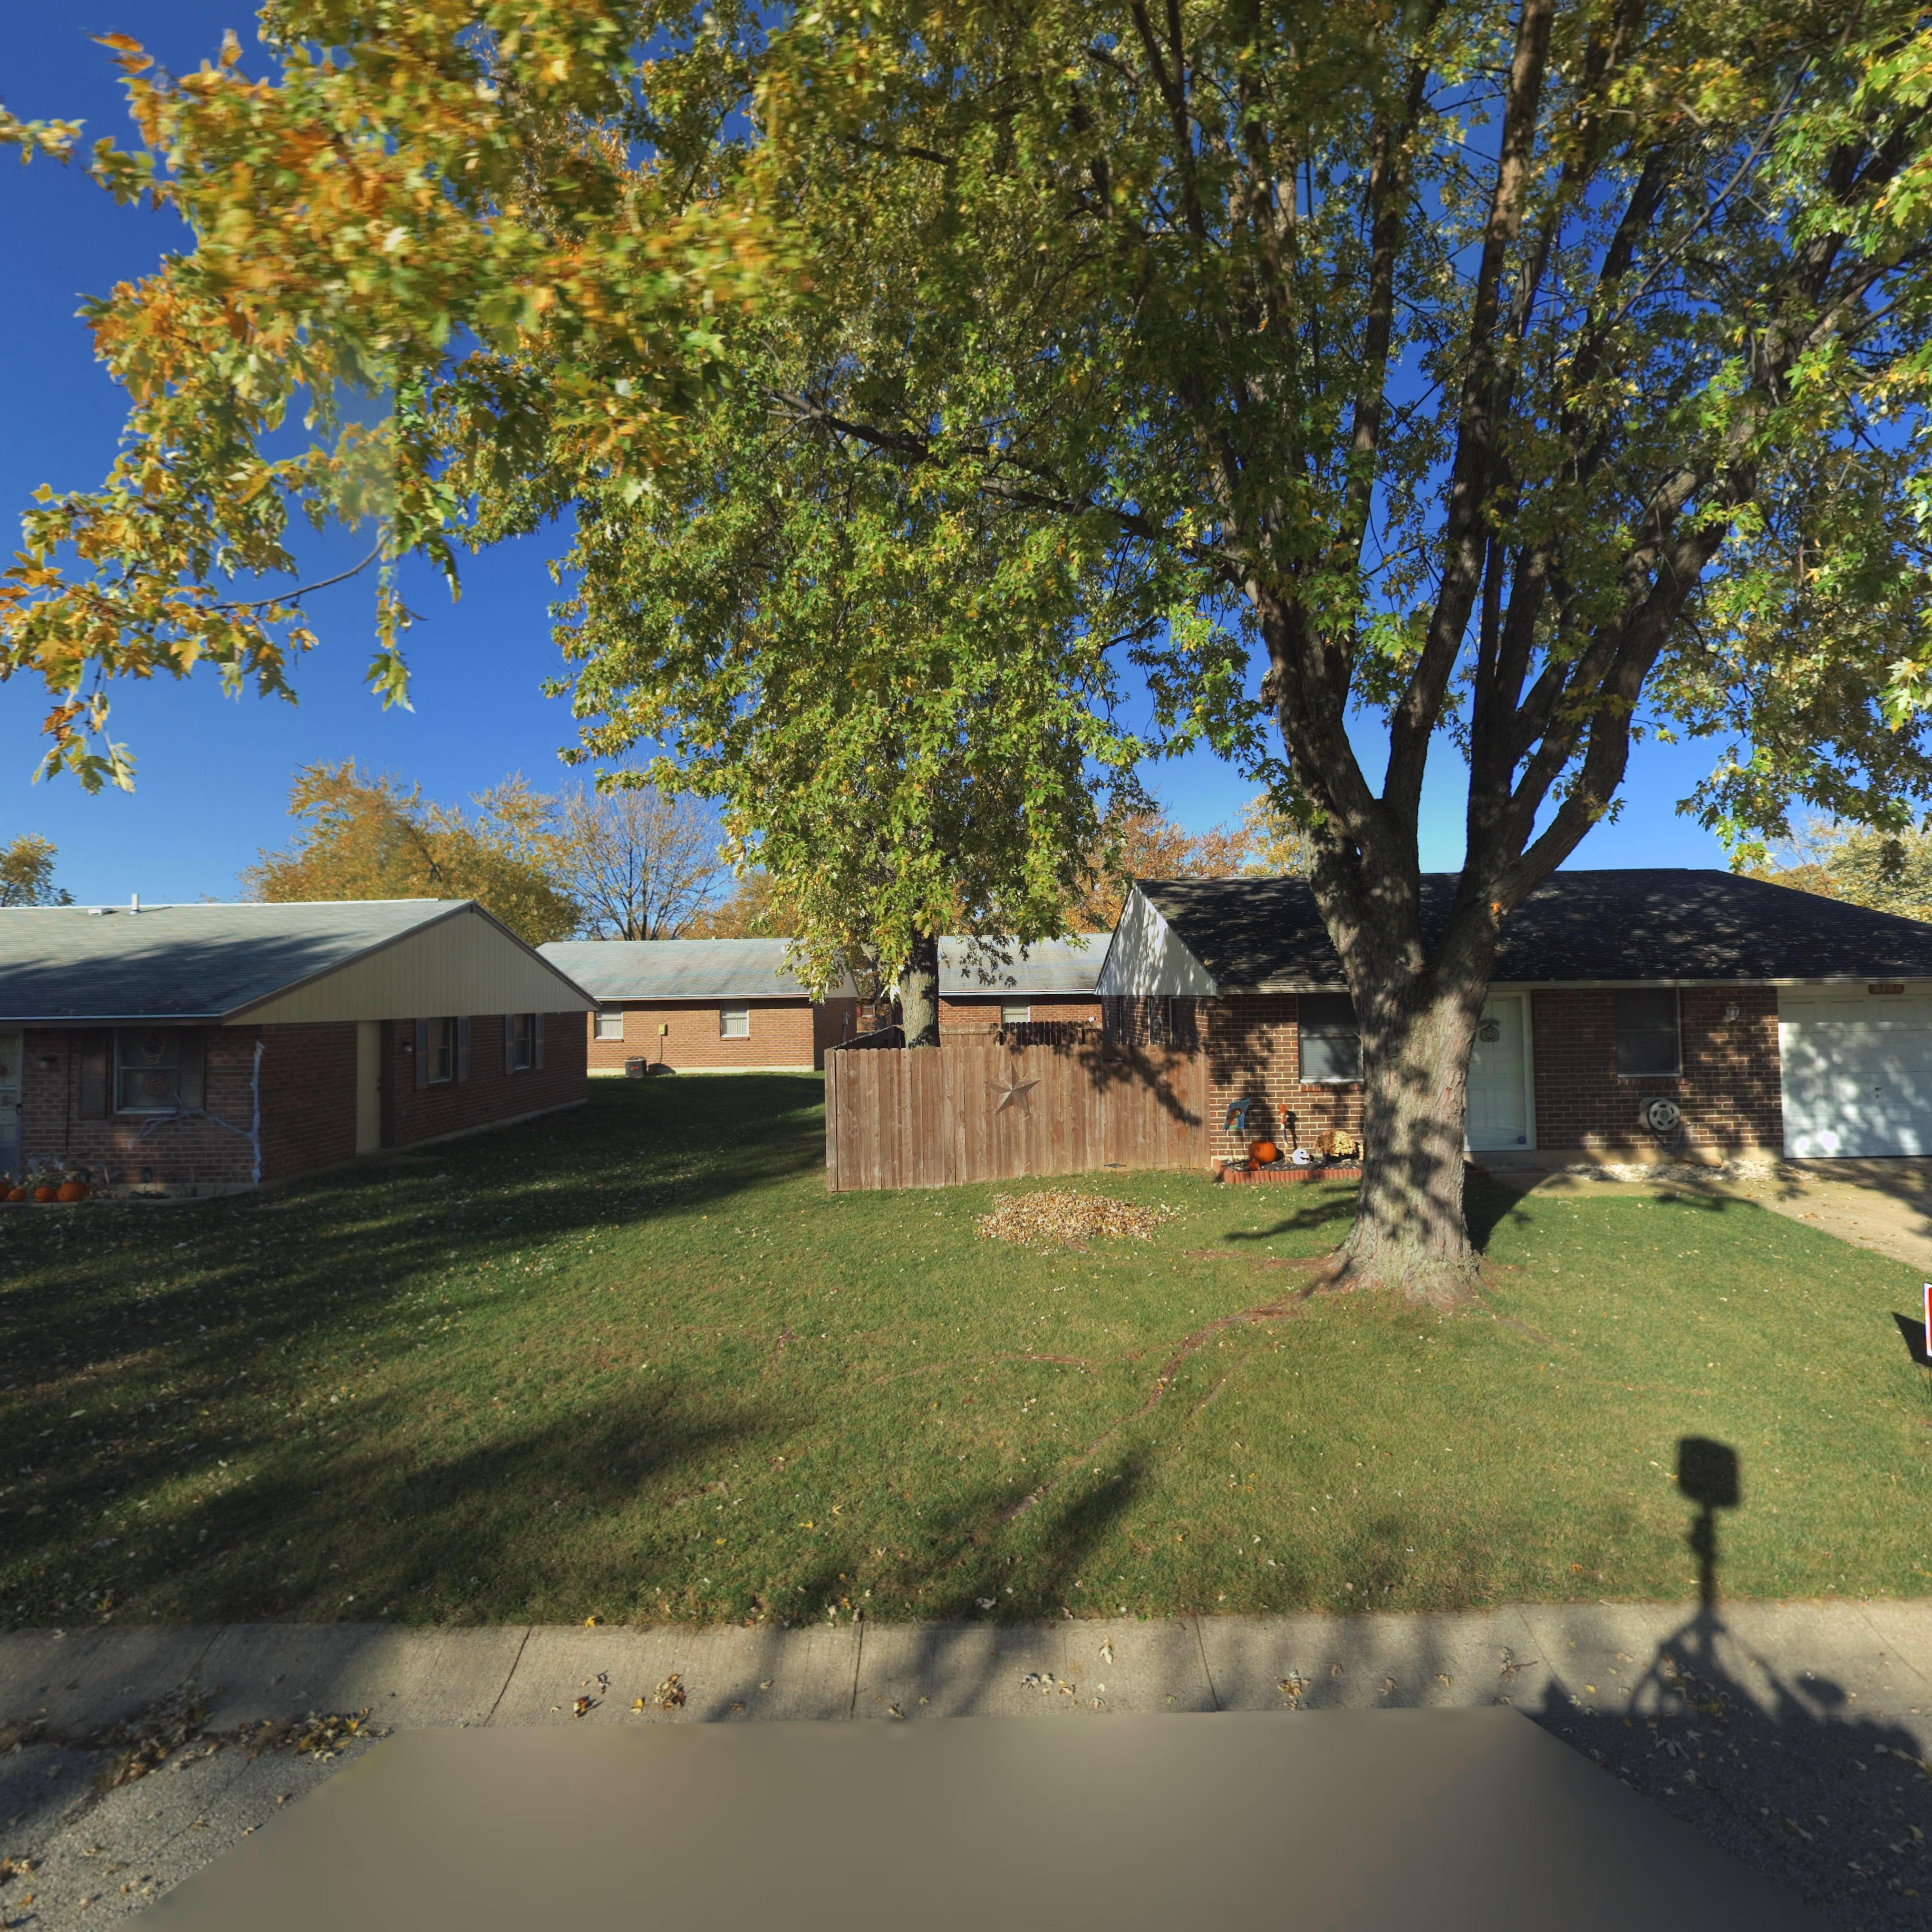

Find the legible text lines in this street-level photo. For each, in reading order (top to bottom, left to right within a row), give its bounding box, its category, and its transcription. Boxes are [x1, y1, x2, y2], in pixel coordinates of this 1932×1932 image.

[1873, 984, 1903, 994] StreetNumber: 8***